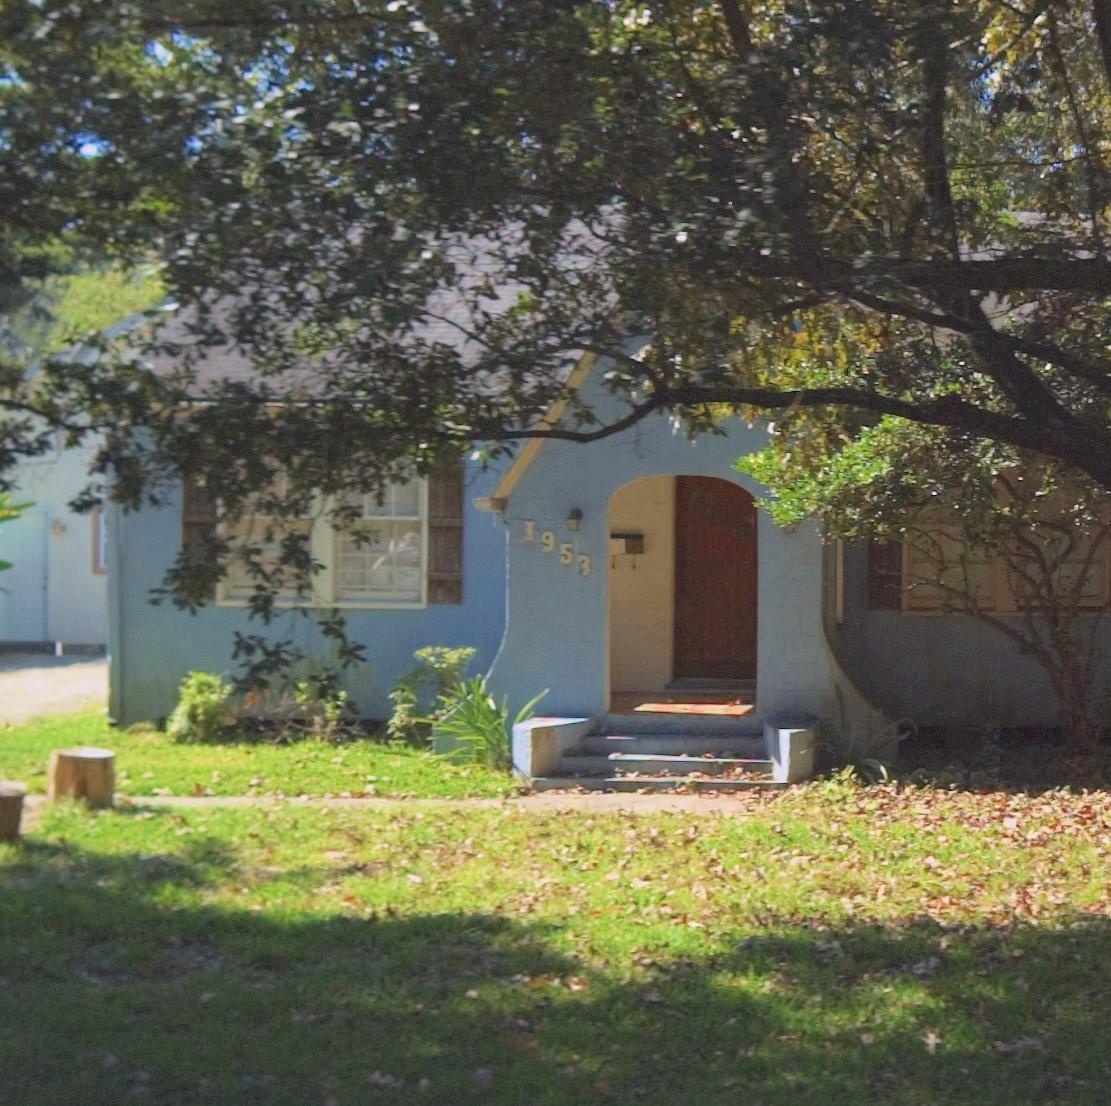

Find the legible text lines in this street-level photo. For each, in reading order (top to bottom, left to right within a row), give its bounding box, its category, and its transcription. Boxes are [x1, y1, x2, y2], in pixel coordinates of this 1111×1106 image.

[522, 518, 592, 579] StreetNumber: 1953